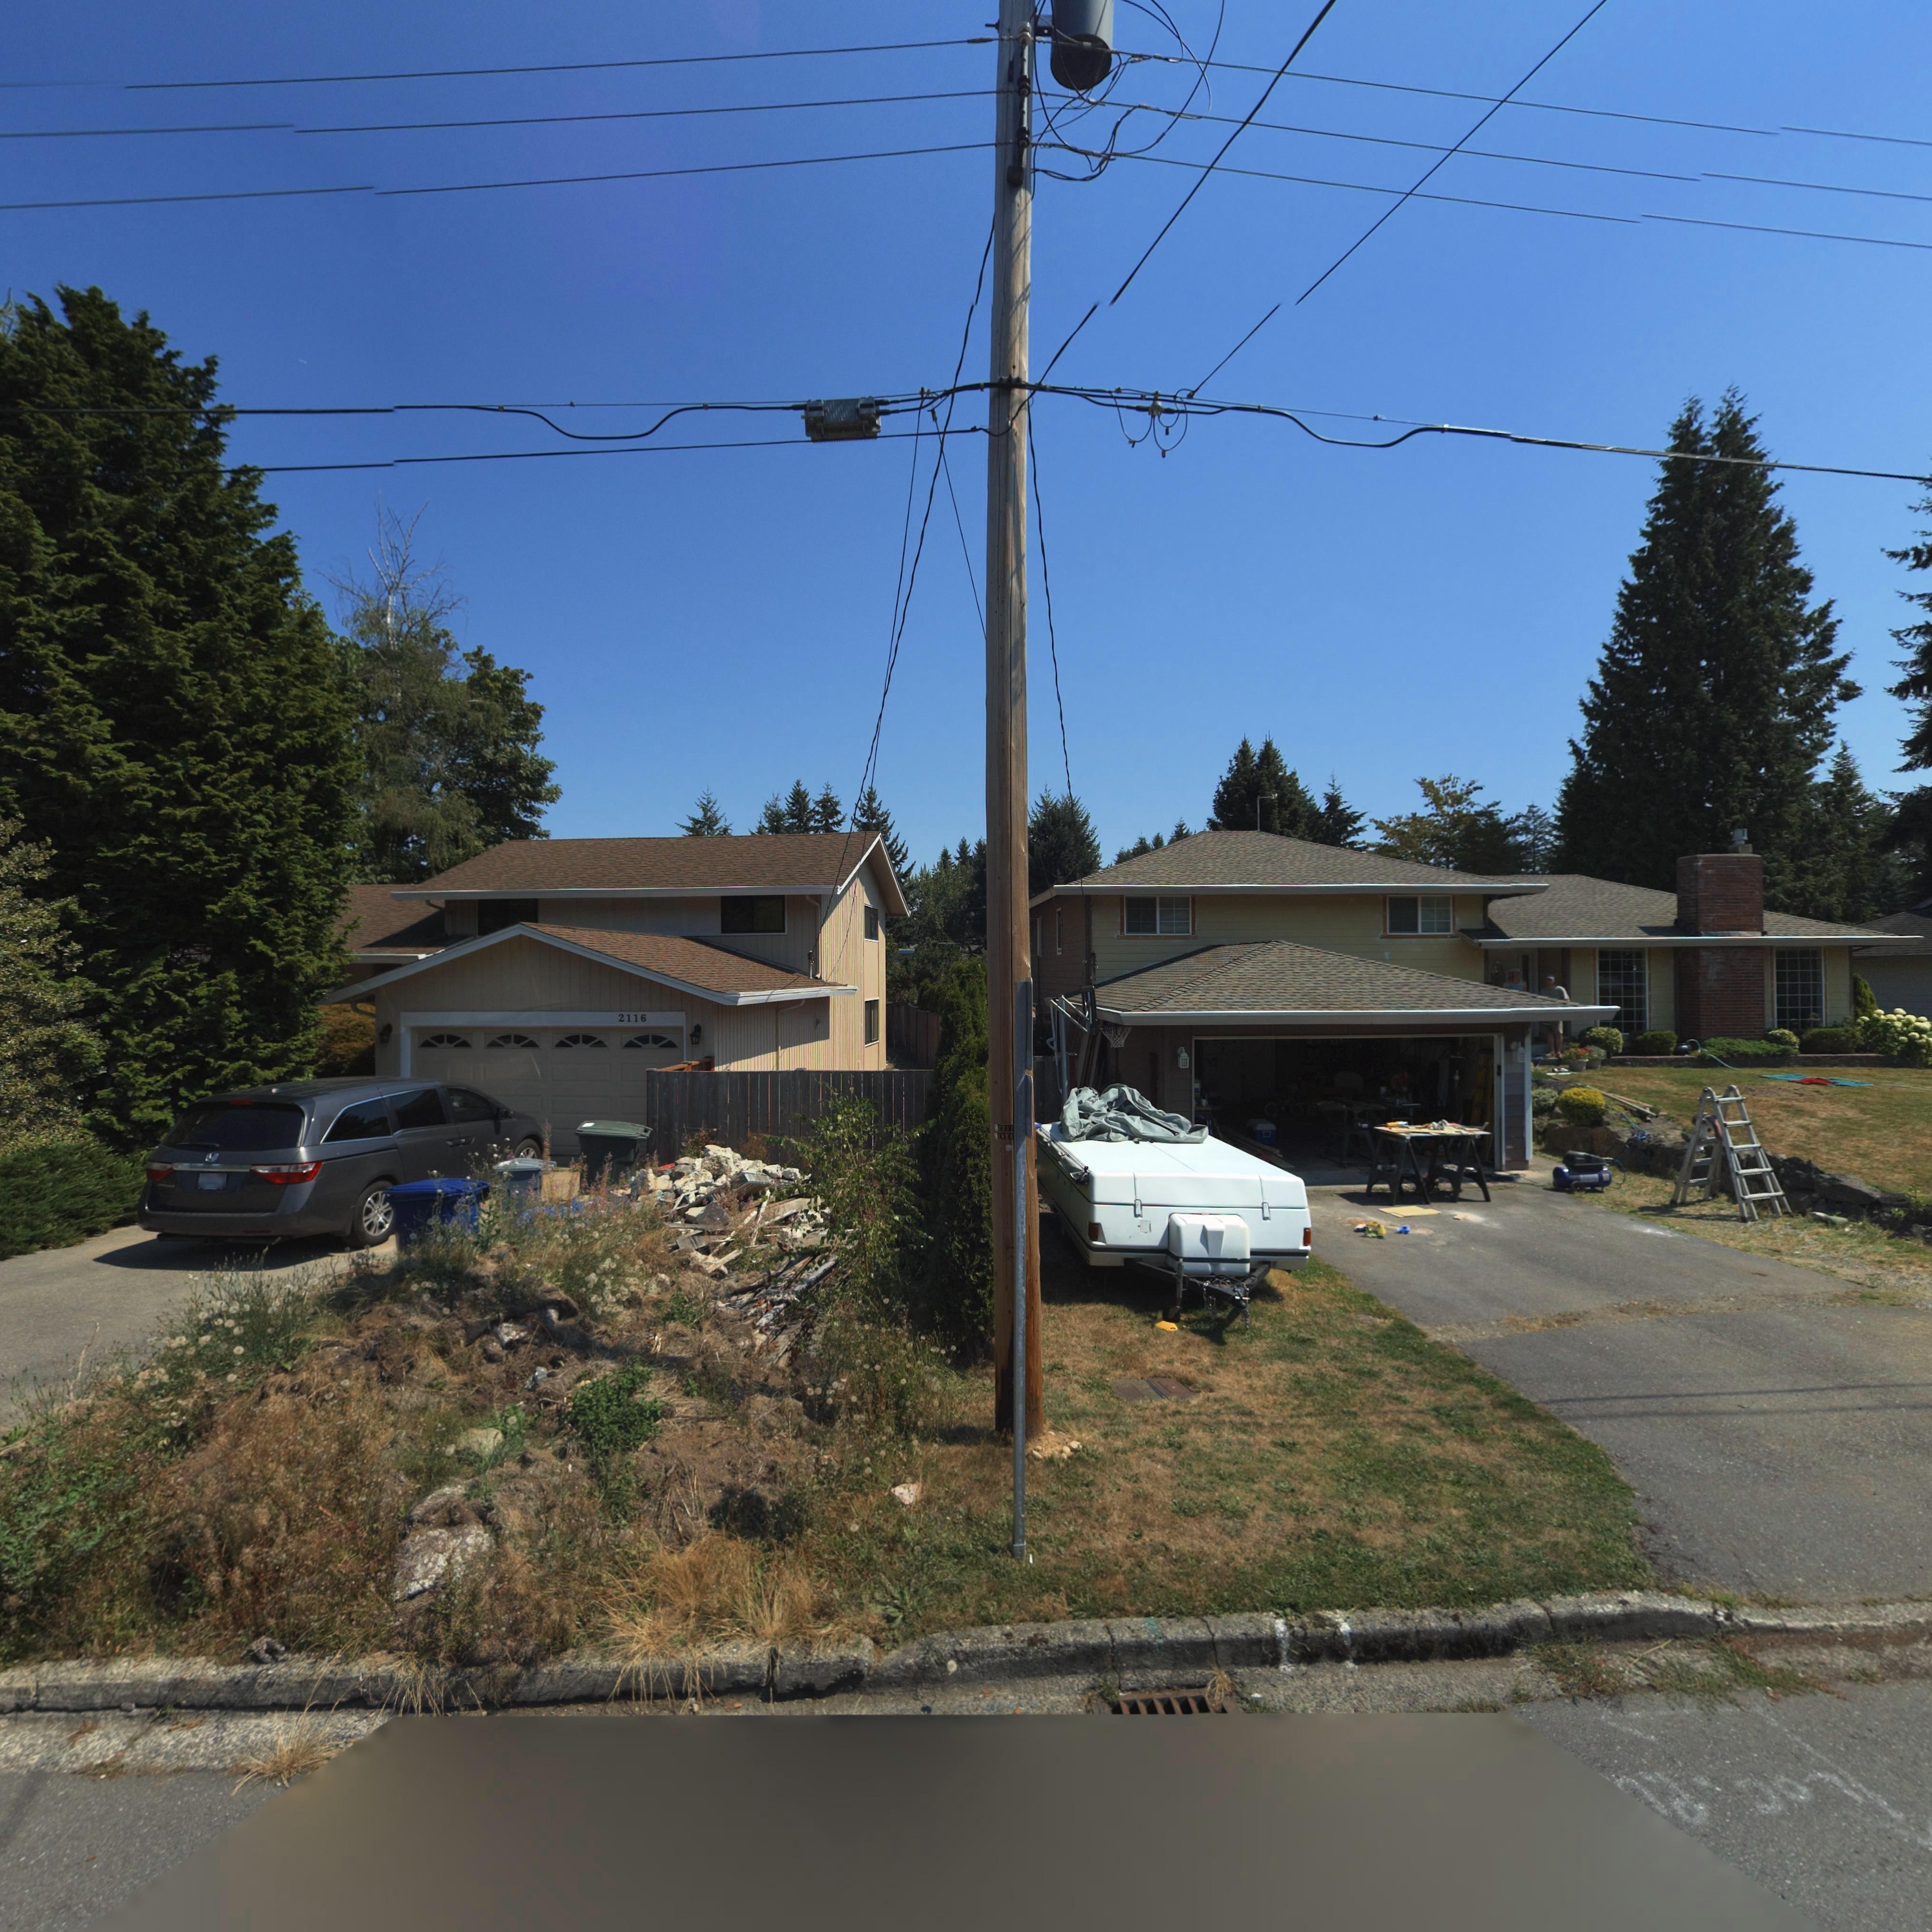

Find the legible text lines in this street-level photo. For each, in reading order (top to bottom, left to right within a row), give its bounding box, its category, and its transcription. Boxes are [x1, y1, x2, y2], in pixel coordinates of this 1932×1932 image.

[618, 1014, 646, 1022] StreetNumber: 2116